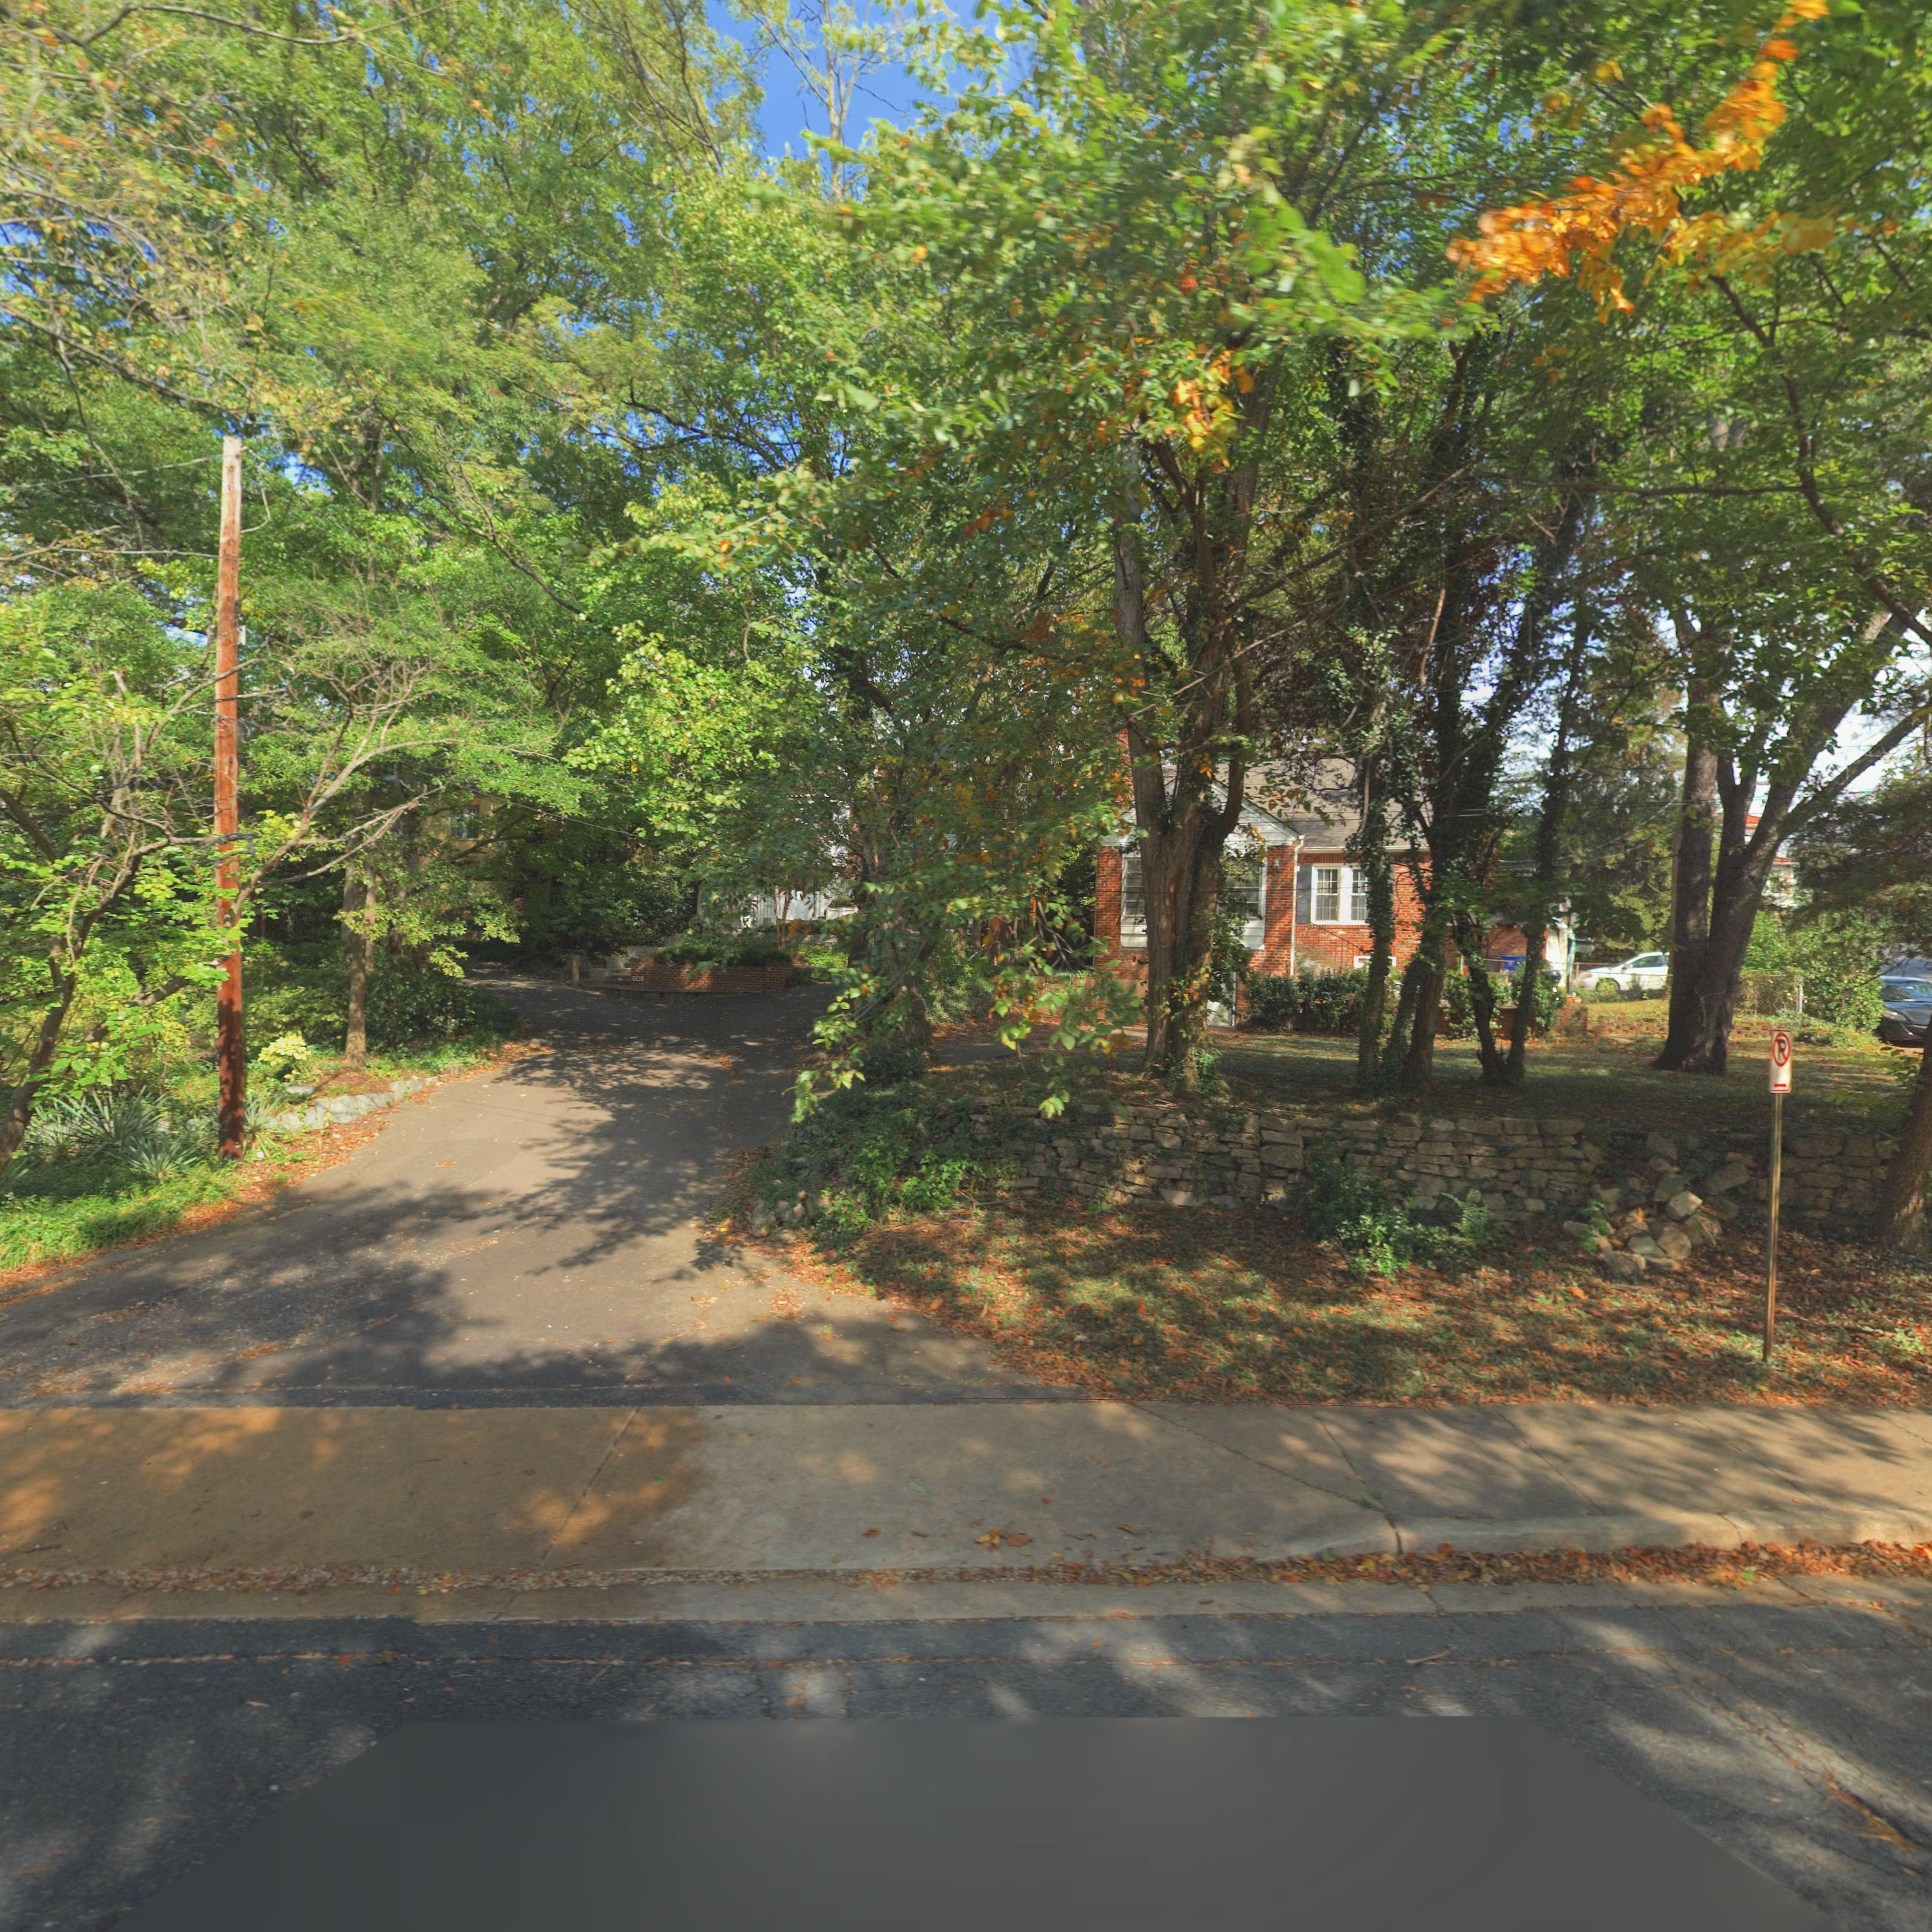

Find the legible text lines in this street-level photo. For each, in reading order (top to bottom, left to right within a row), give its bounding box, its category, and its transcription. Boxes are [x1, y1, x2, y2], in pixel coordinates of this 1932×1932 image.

[631, 975, 645, 982] StreetNumber: 1305